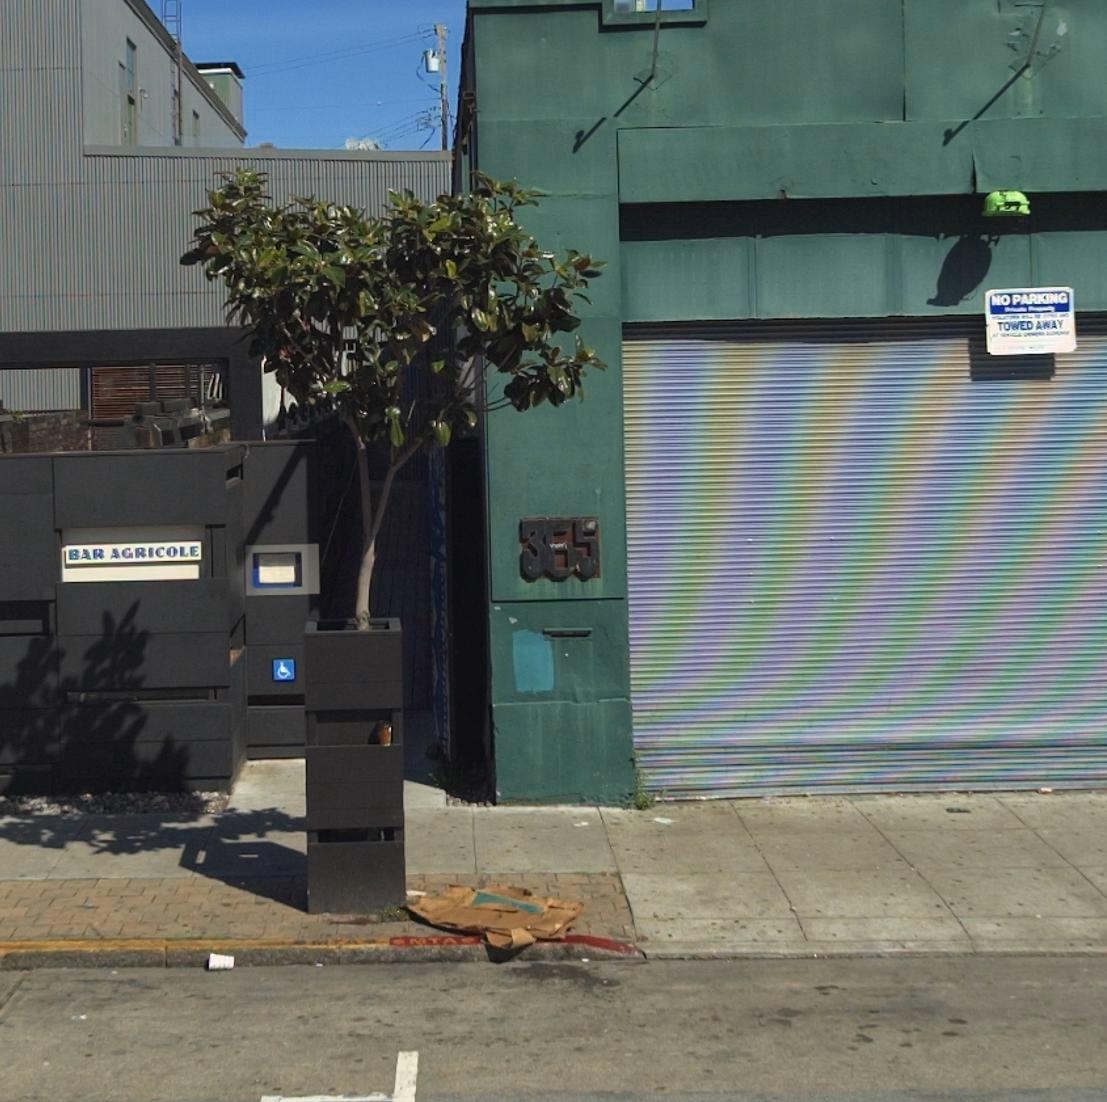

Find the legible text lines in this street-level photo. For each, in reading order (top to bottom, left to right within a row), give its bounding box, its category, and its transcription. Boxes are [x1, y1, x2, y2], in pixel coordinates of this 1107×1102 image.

[989, 290, 1071, 310] None: NO PARKING
[994, 316, 1066, 334] None: TOWED AWAY
[65, 541, 202, 565] BusinessName: BAR AGRICOLE
[516, 513, 603, 585] StreetNumber: 365
[405, 934, 464, 949] None: MTA